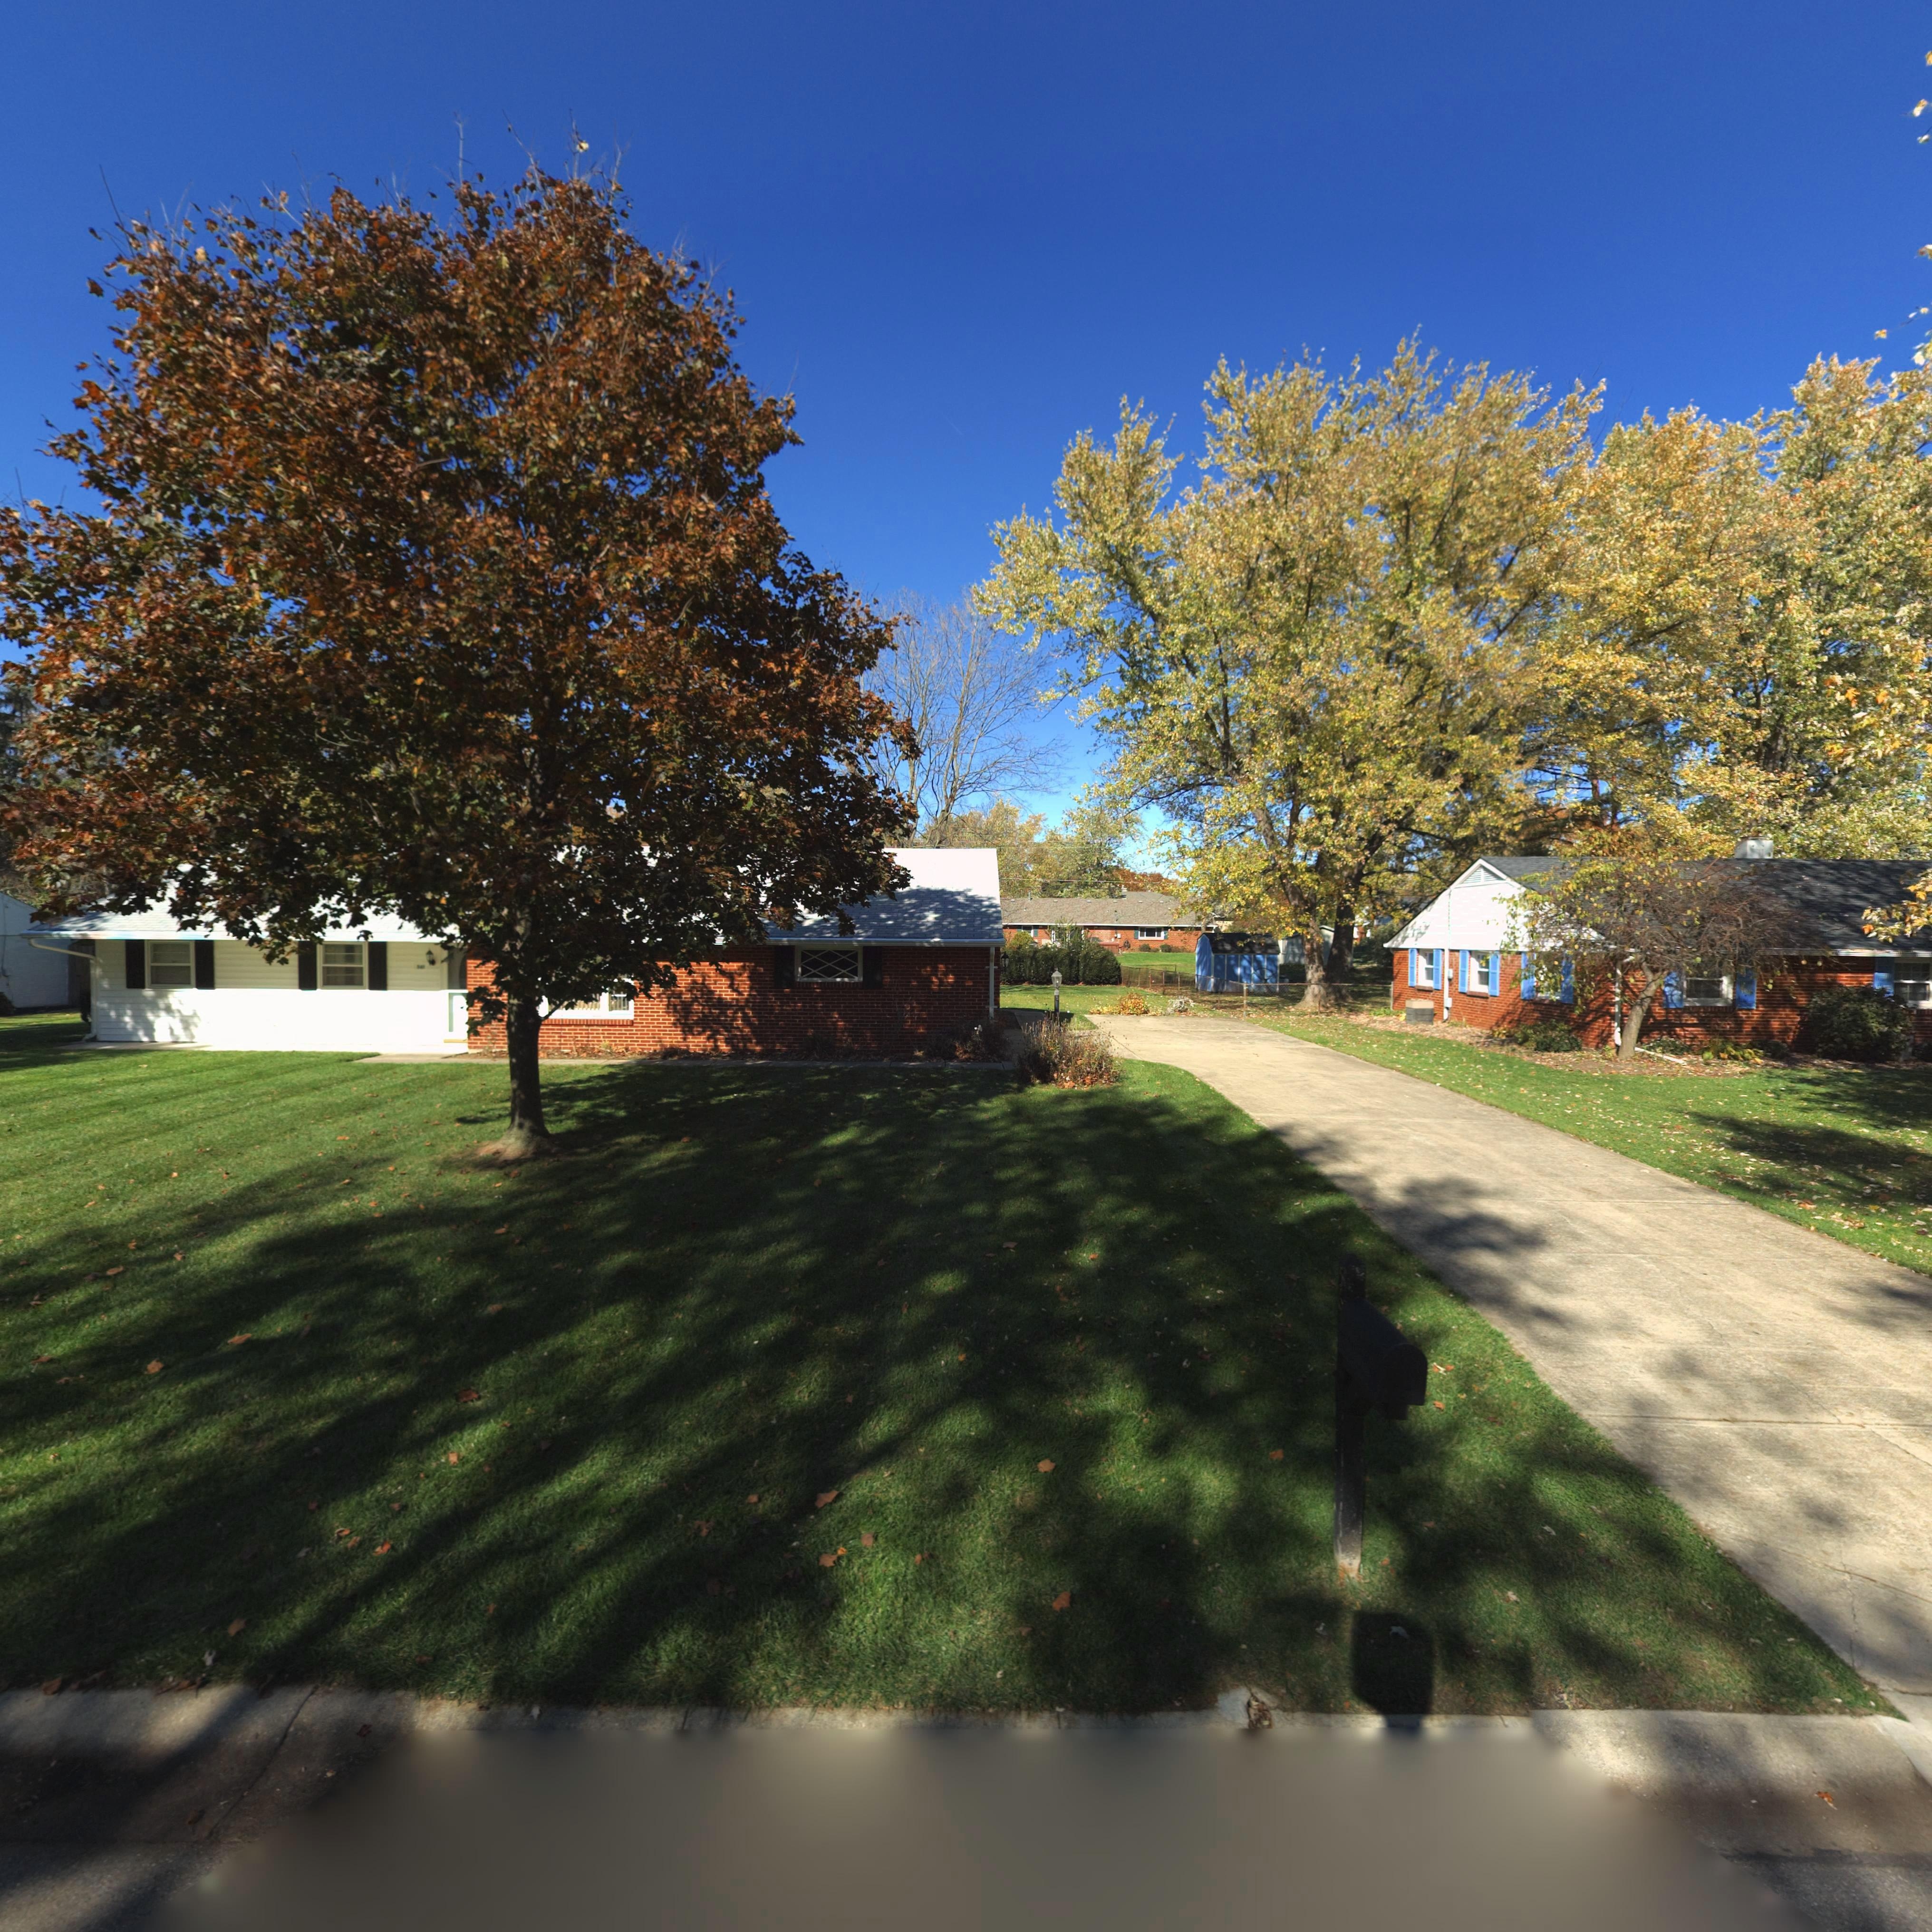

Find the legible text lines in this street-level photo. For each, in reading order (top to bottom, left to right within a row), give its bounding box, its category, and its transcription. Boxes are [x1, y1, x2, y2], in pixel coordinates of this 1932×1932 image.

[416, 964, 425, 969] StreetNumber: 5**